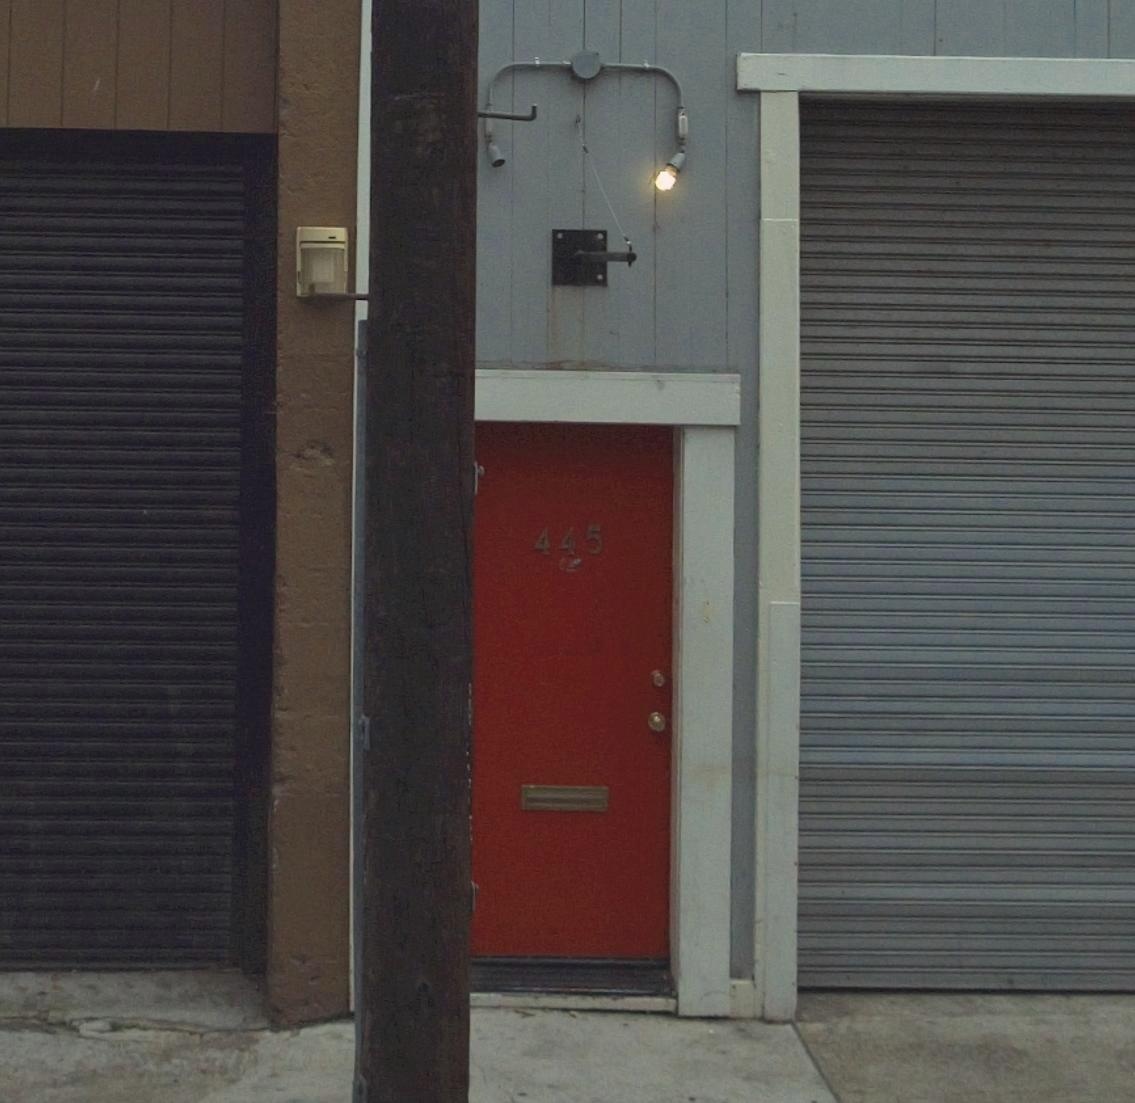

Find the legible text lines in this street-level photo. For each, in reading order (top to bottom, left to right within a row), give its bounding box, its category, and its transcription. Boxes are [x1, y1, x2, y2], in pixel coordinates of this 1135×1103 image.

[529, 523, 606, 558] StreetNumber: 445